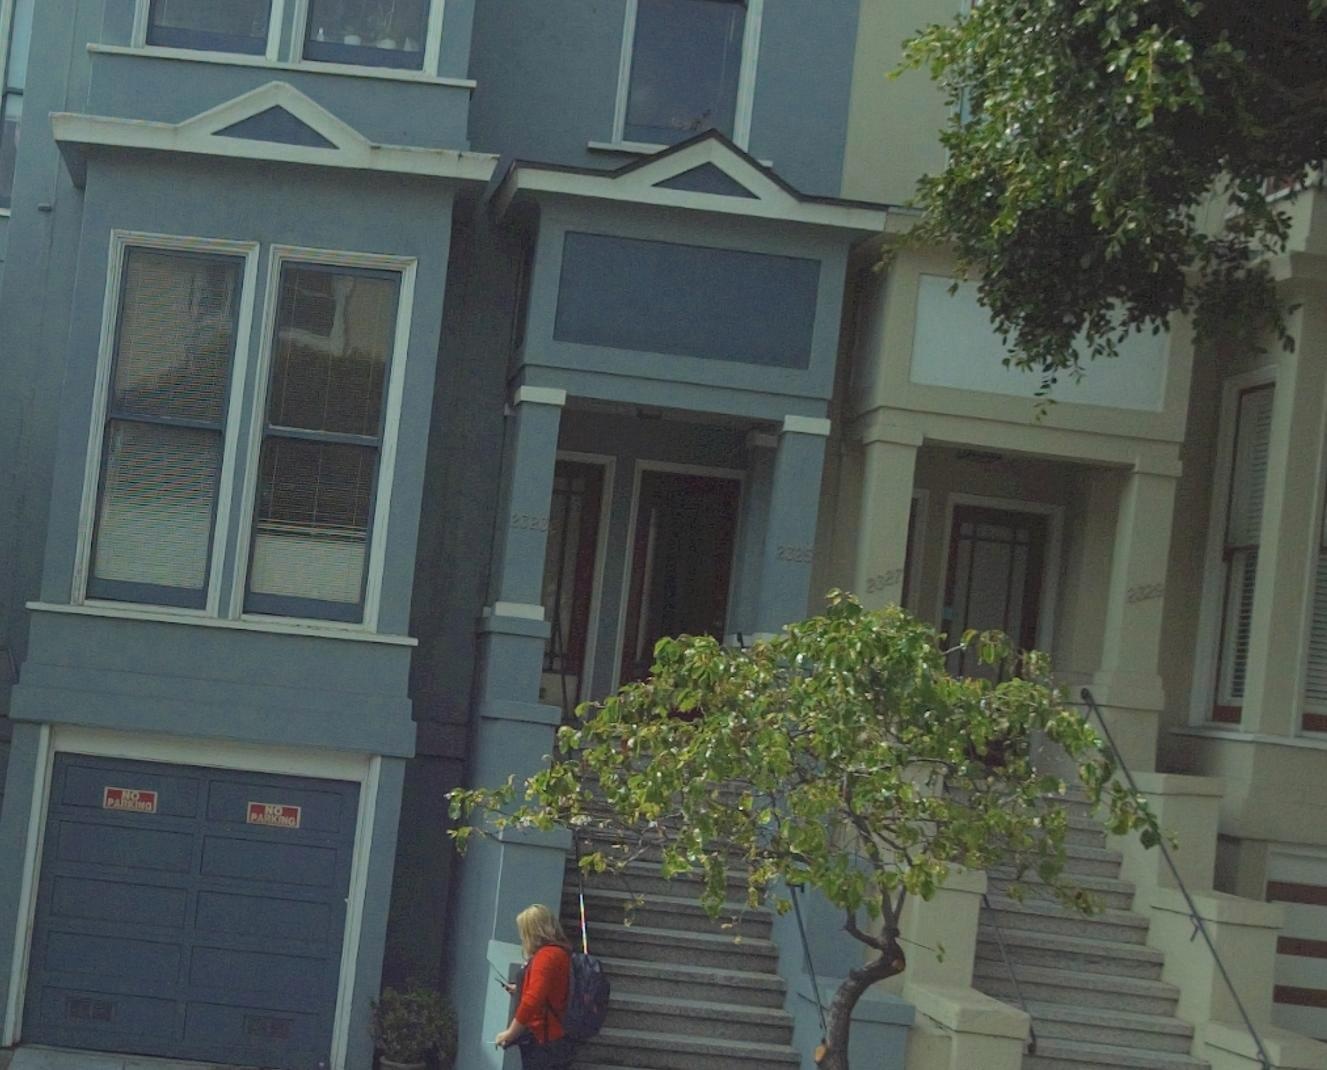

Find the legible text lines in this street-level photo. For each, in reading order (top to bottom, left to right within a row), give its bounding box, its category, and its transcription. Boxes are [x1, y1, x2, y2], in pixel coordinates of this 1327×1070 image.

[506, 510, 551, 535] StreetNumber: 2323
[771, 542, 815, 567] StreetNumber: 2325
[863, 565, 905, 597] StreetNumber: 2327
[1124, 580, 1165, 607] StreetNumber: 2329
[106, 795, 154, 813] None: PARKING
[119, 788, 142, 802] None: NO
[249, 810, 297, 830] None: PARKING
[264, 803, 285, 818] None: NO